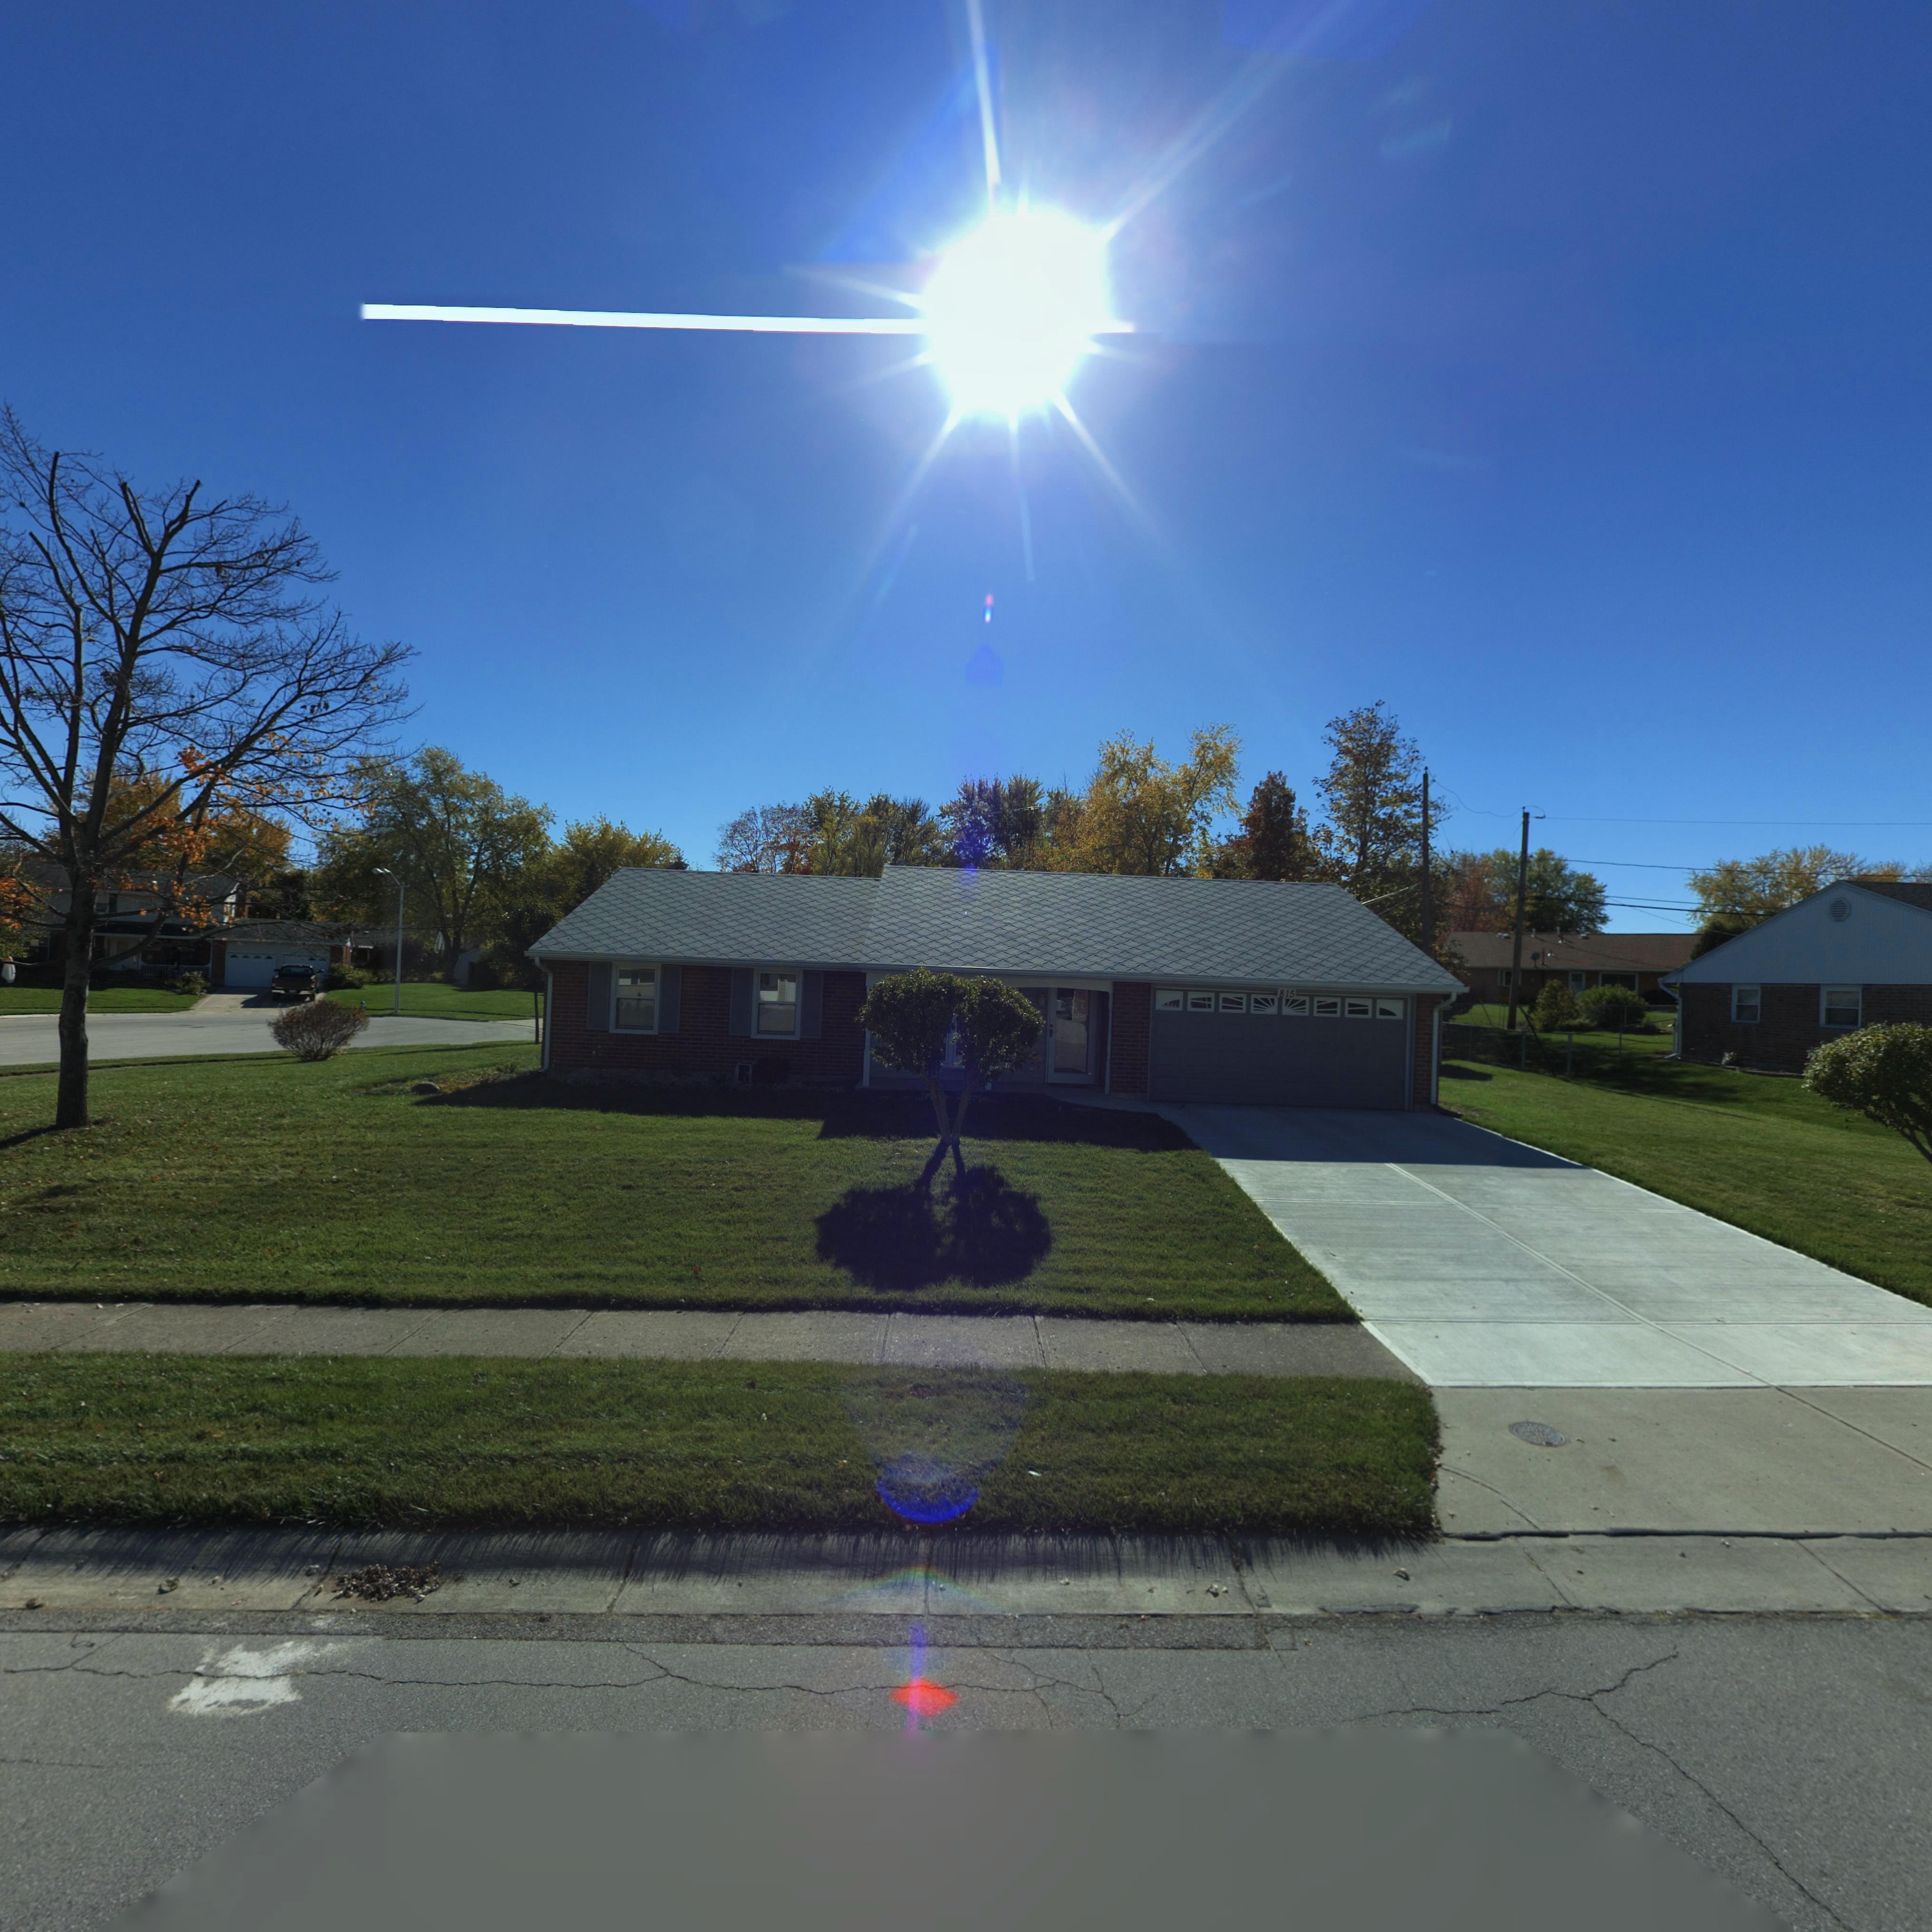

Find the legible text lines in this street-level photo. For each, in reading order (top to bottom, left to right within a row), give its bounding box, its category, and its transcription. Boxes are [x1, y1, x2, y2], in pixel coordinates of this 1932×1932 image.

[1278, 989, 1295, 998] StreetNumber: 815